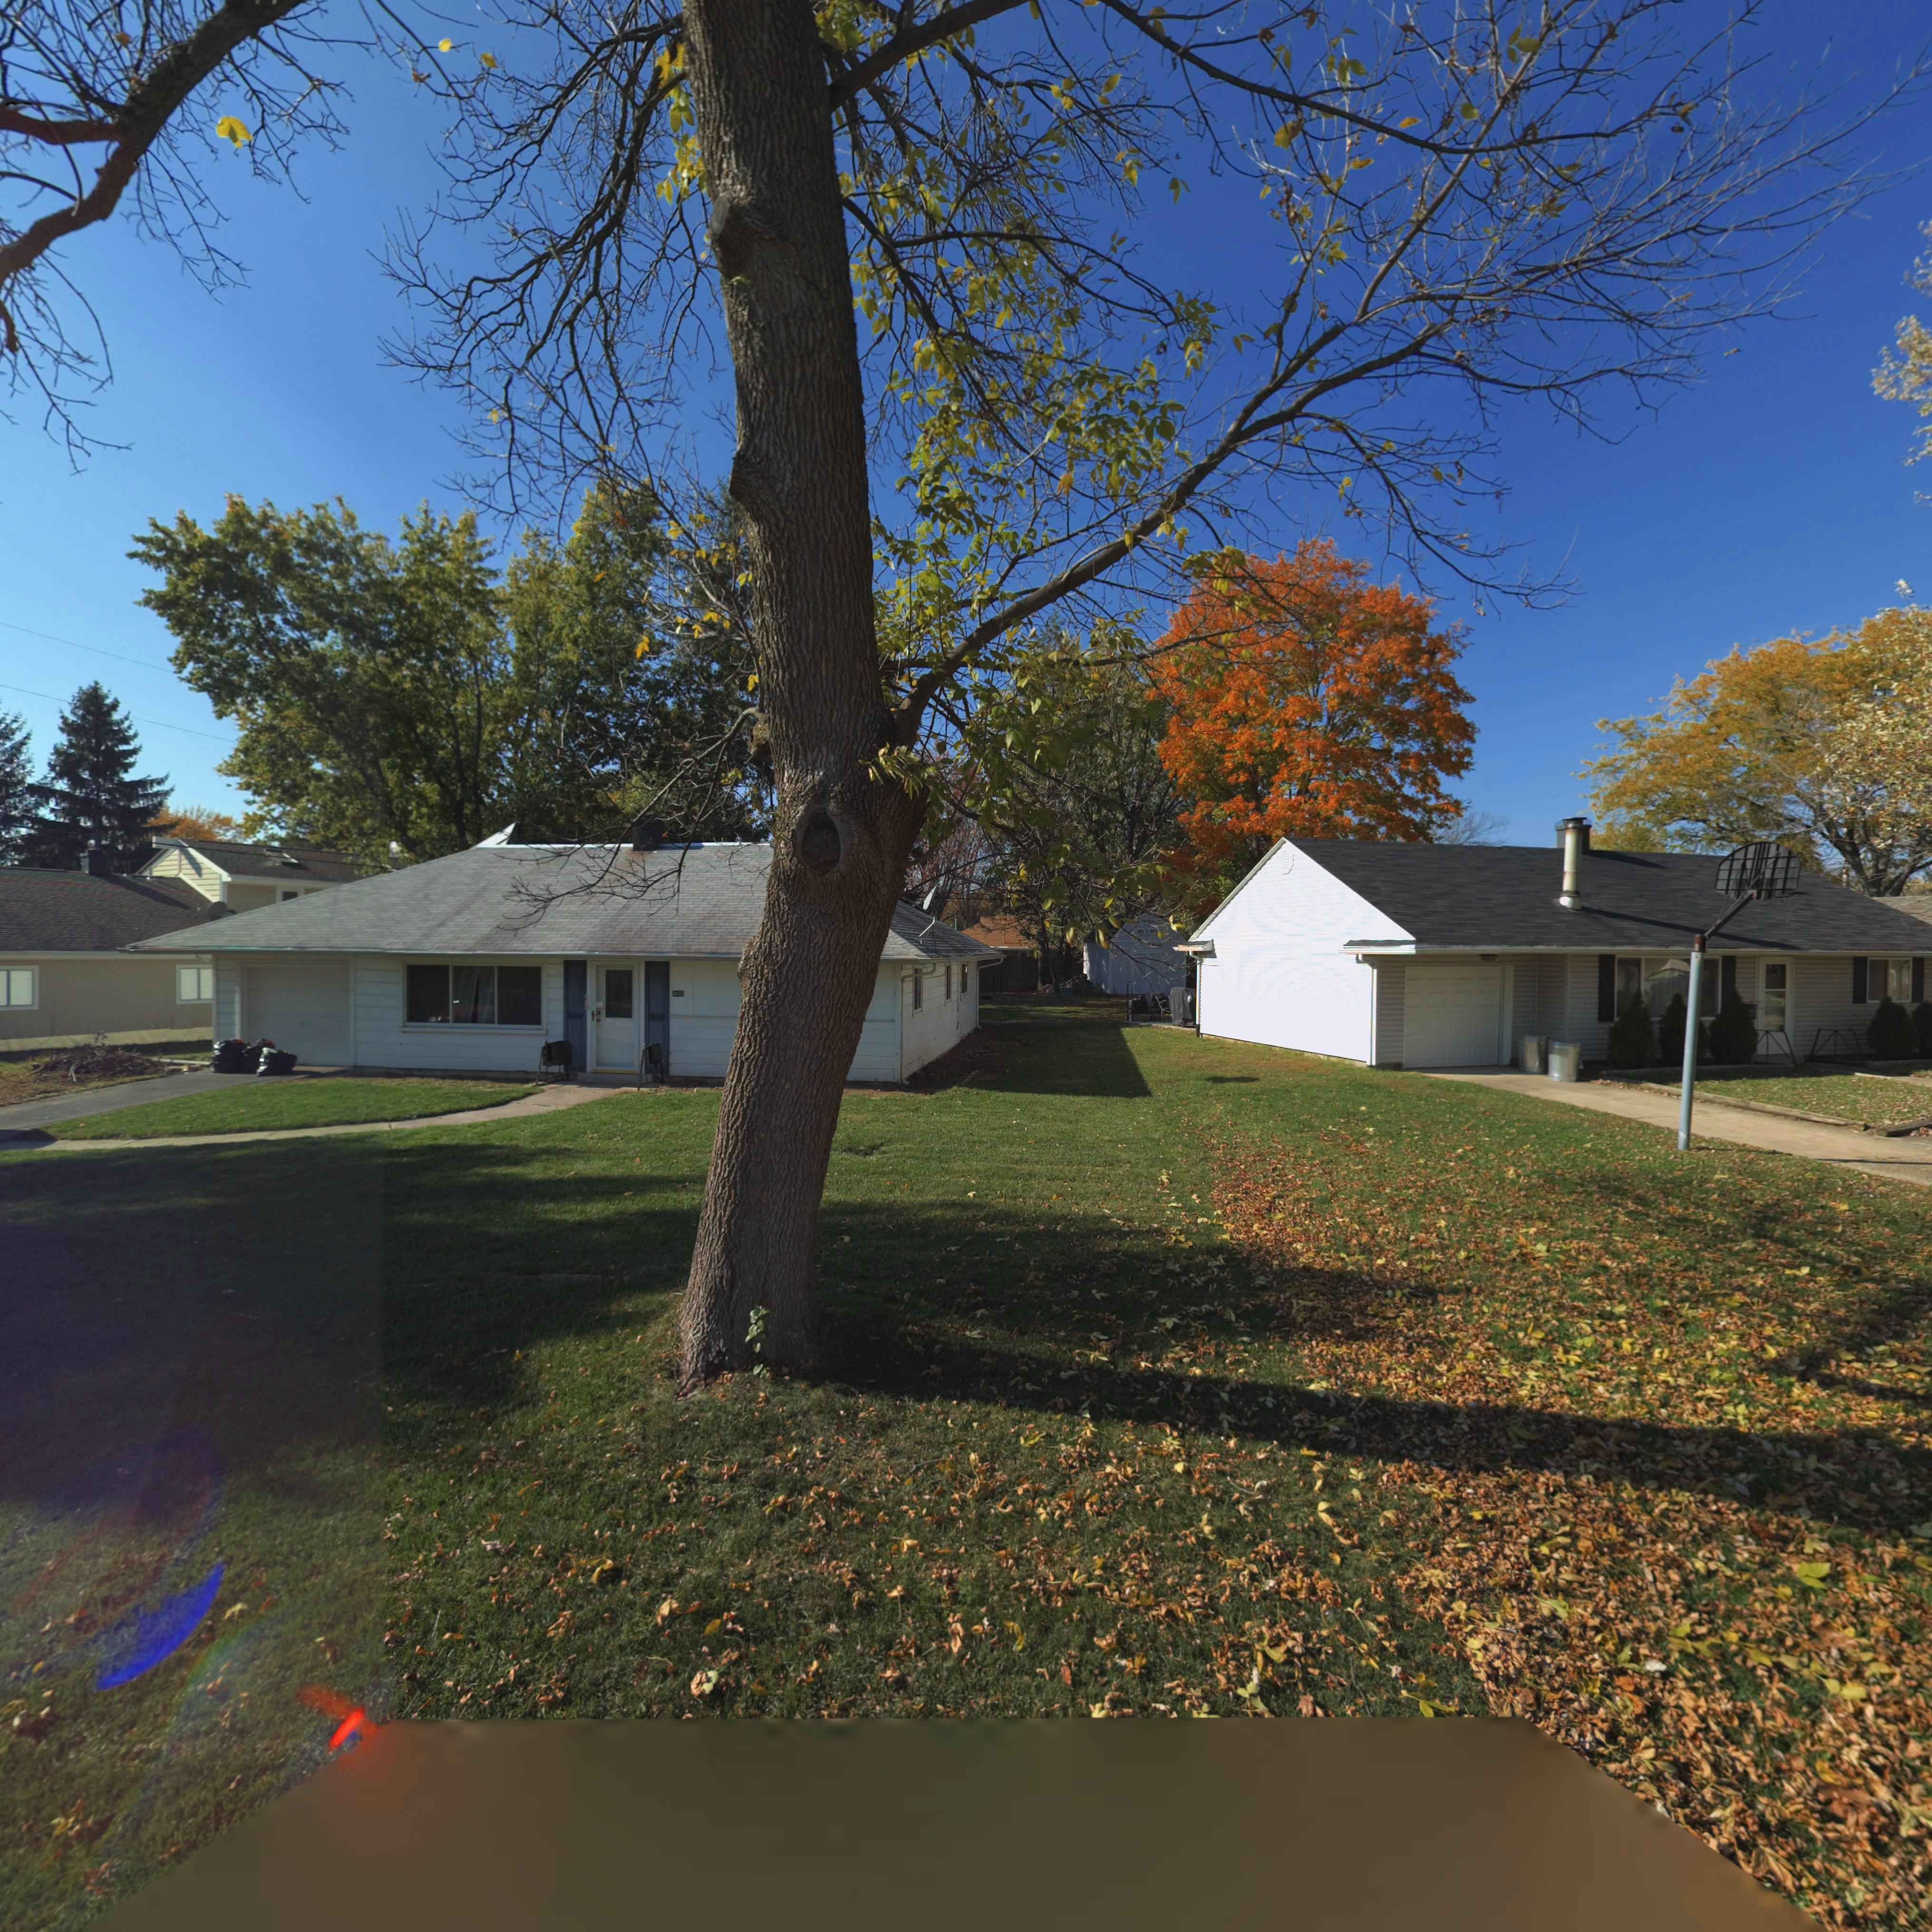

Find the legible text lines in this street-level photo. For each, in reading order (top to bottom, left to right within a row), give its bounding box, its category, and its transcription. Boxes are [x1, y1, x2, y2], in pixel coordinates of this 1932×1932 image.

[673, 991, 684, 996] StreetNumber: 3833